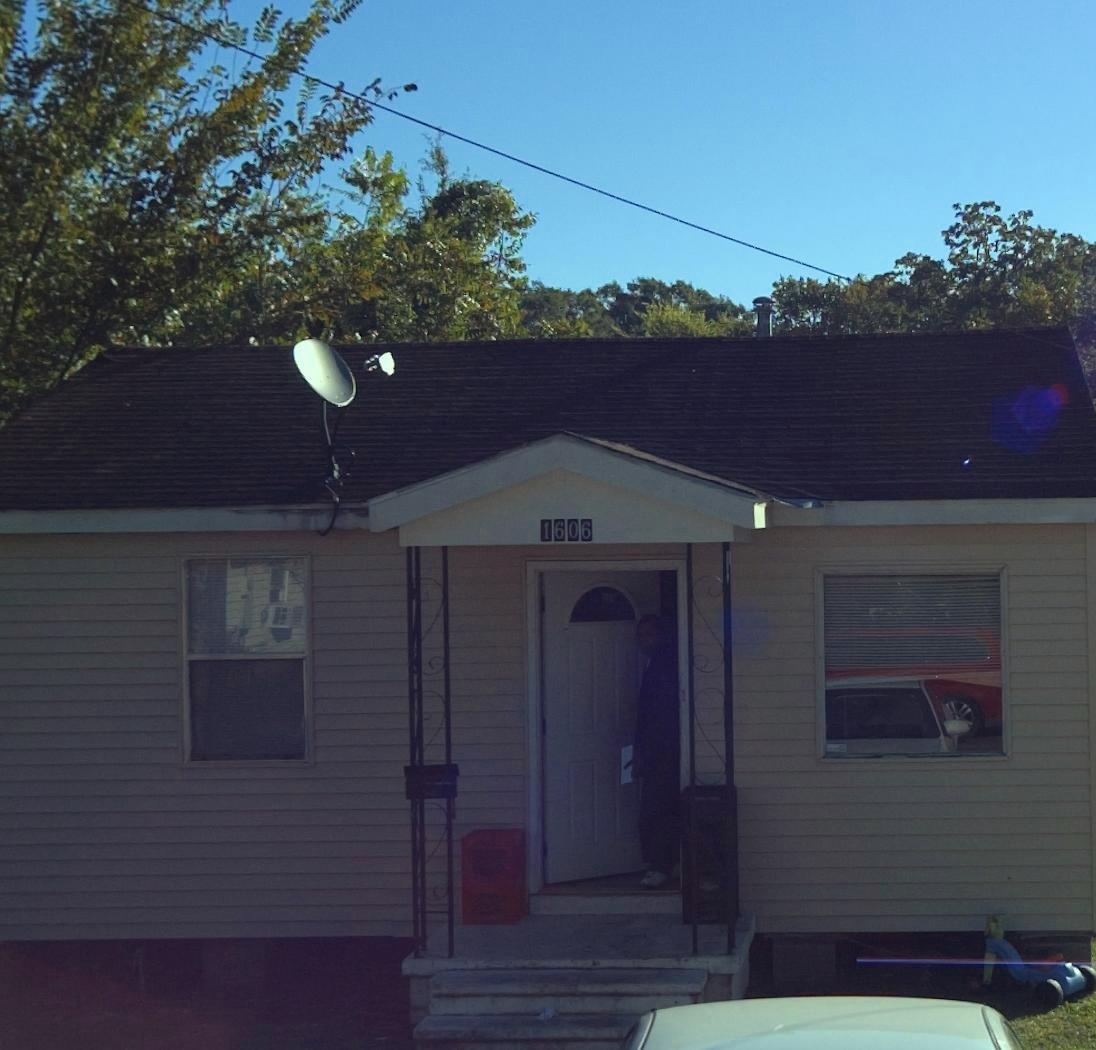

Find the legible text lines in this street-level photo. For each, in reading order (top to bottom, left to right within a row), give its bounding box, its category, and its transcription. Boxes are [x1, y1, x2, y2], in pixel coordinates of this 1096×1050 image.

[541, 519, 593, 542] StreetNumber: 1606